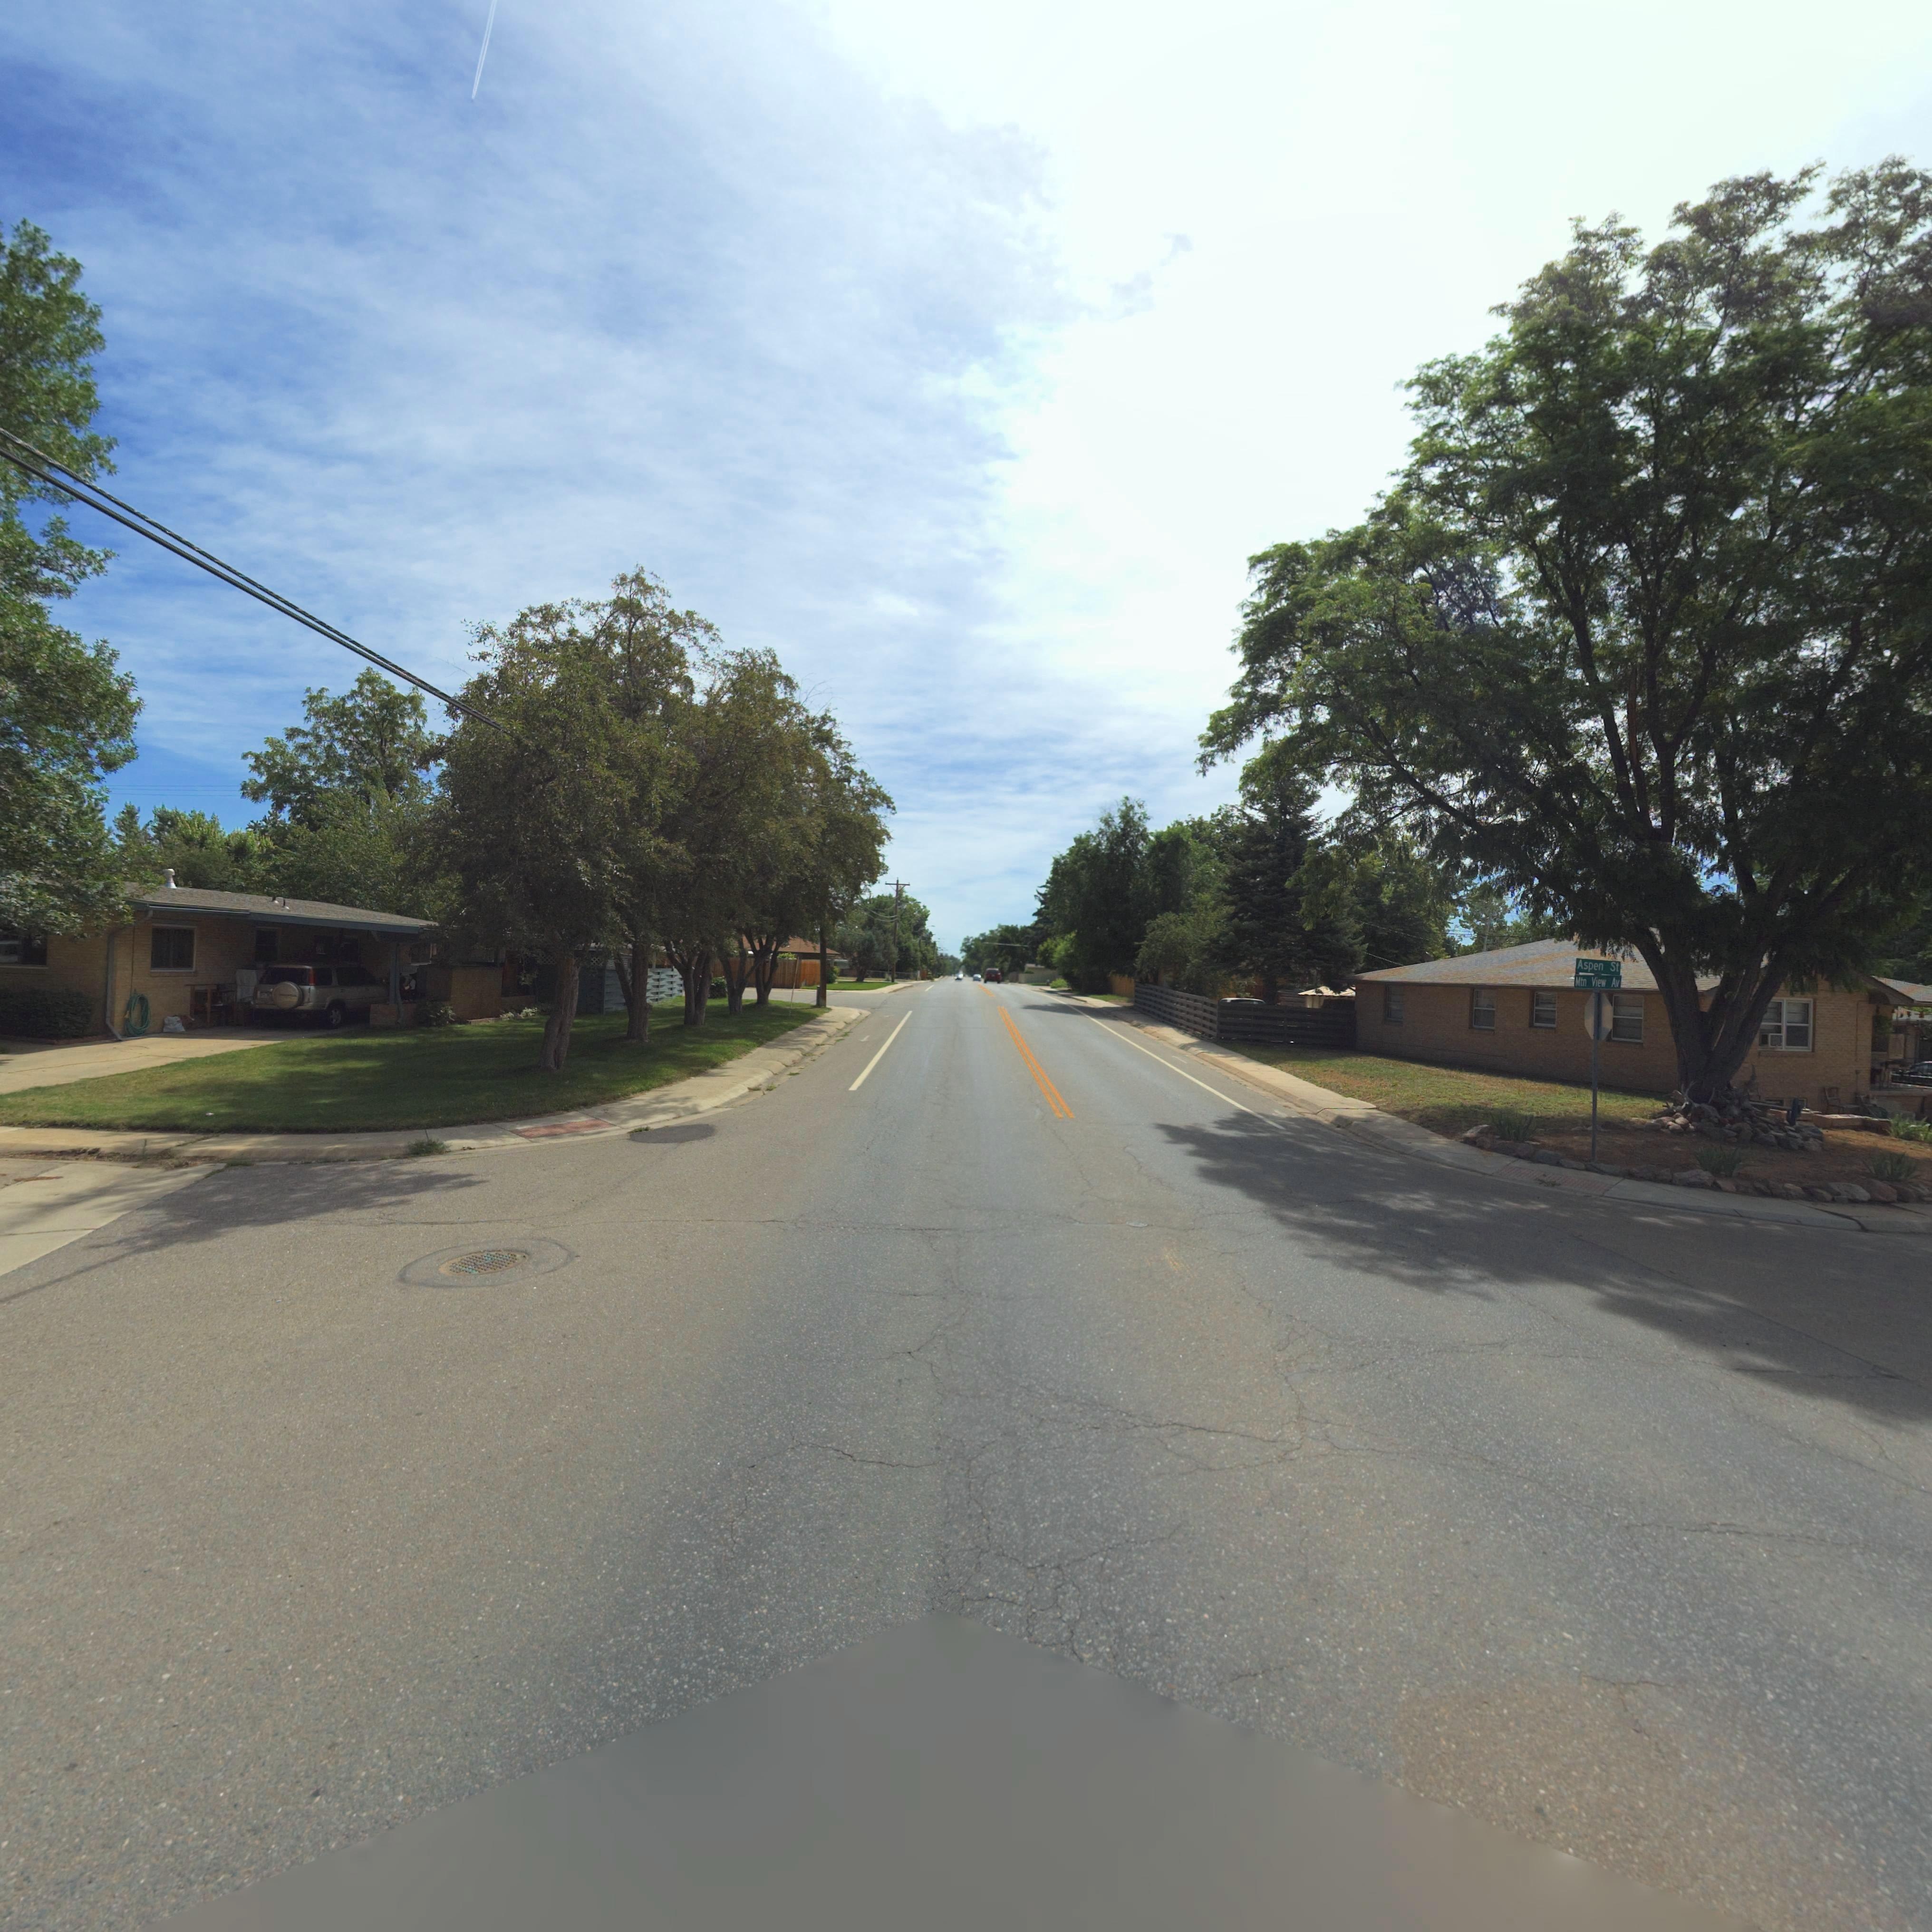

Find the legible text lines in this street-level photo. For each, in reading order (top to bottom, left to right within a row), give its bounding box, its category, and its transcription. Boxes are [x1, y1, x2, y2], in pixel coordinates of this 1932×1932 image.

[1576, 958, 1620, 973] StreetName: Aspen St
[1575, 976, 1620, 987] StreetName: Mtn View Av